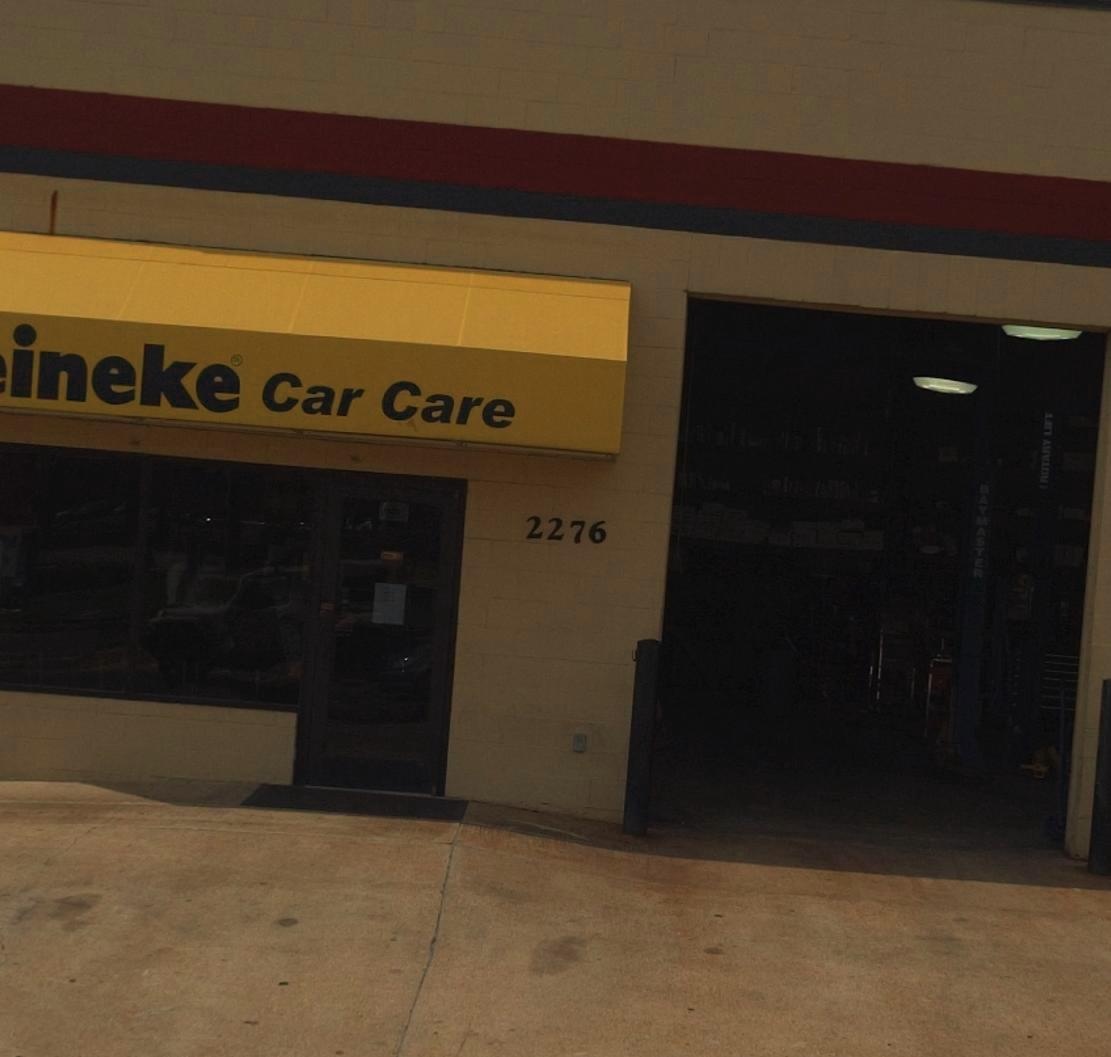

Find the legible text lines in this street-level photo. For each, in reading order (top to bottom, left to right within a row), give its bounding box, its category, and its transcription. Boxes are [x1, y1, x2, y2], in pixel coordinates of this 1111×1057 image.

[7, 317, 520, 439] BusinessName: ineke Car Care
[1036, 406, 1056, 498] None: ROTARY LIFT
[523, 512, 609, 547] StreetNumber: 2276
[970, 480, 992, 585] None: BAYMASTER